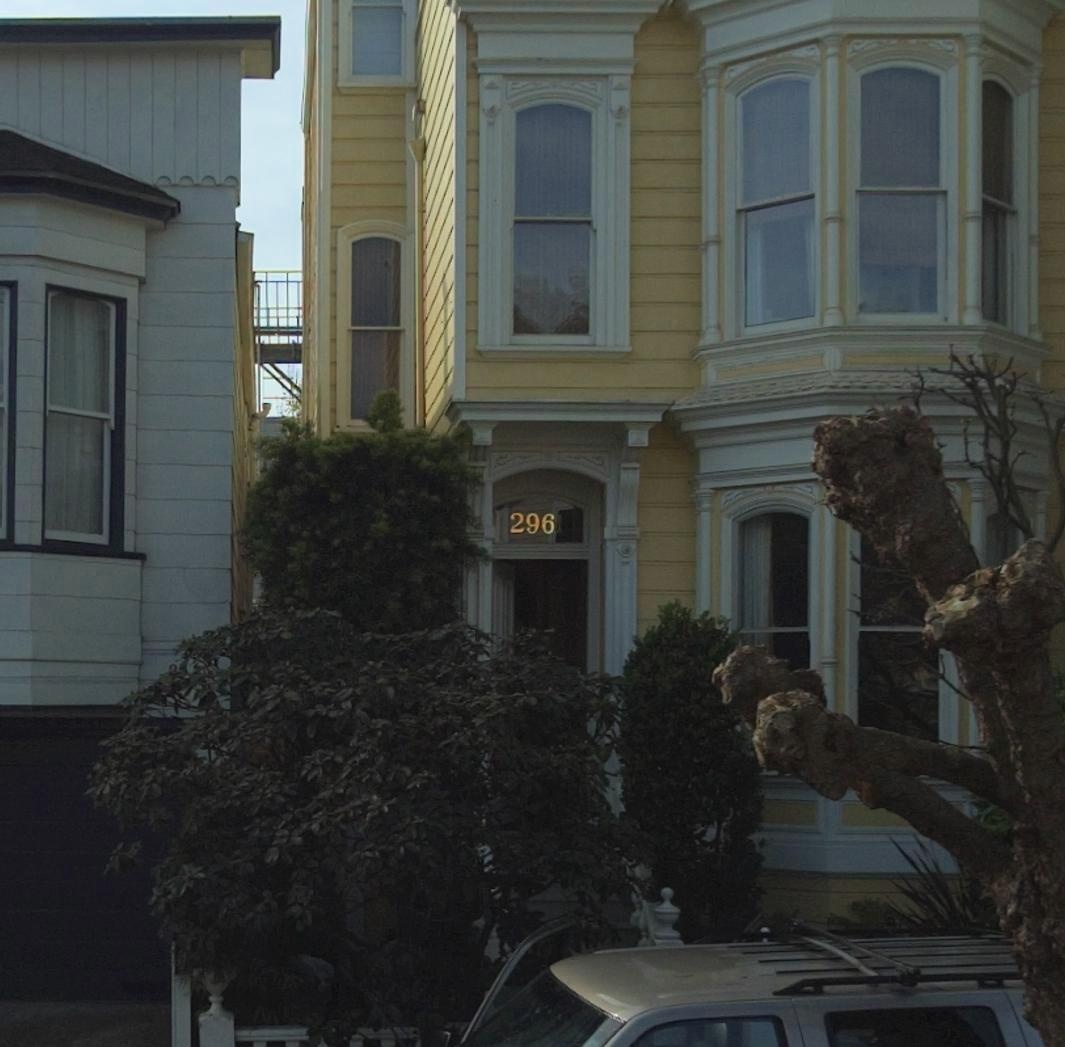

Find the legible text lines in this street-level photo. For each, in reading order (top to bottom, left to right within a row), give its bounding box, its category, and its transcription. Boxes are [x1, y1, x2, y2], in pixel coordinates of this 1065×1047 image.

[508, 510, 568, 536] StreetNumber: 296*